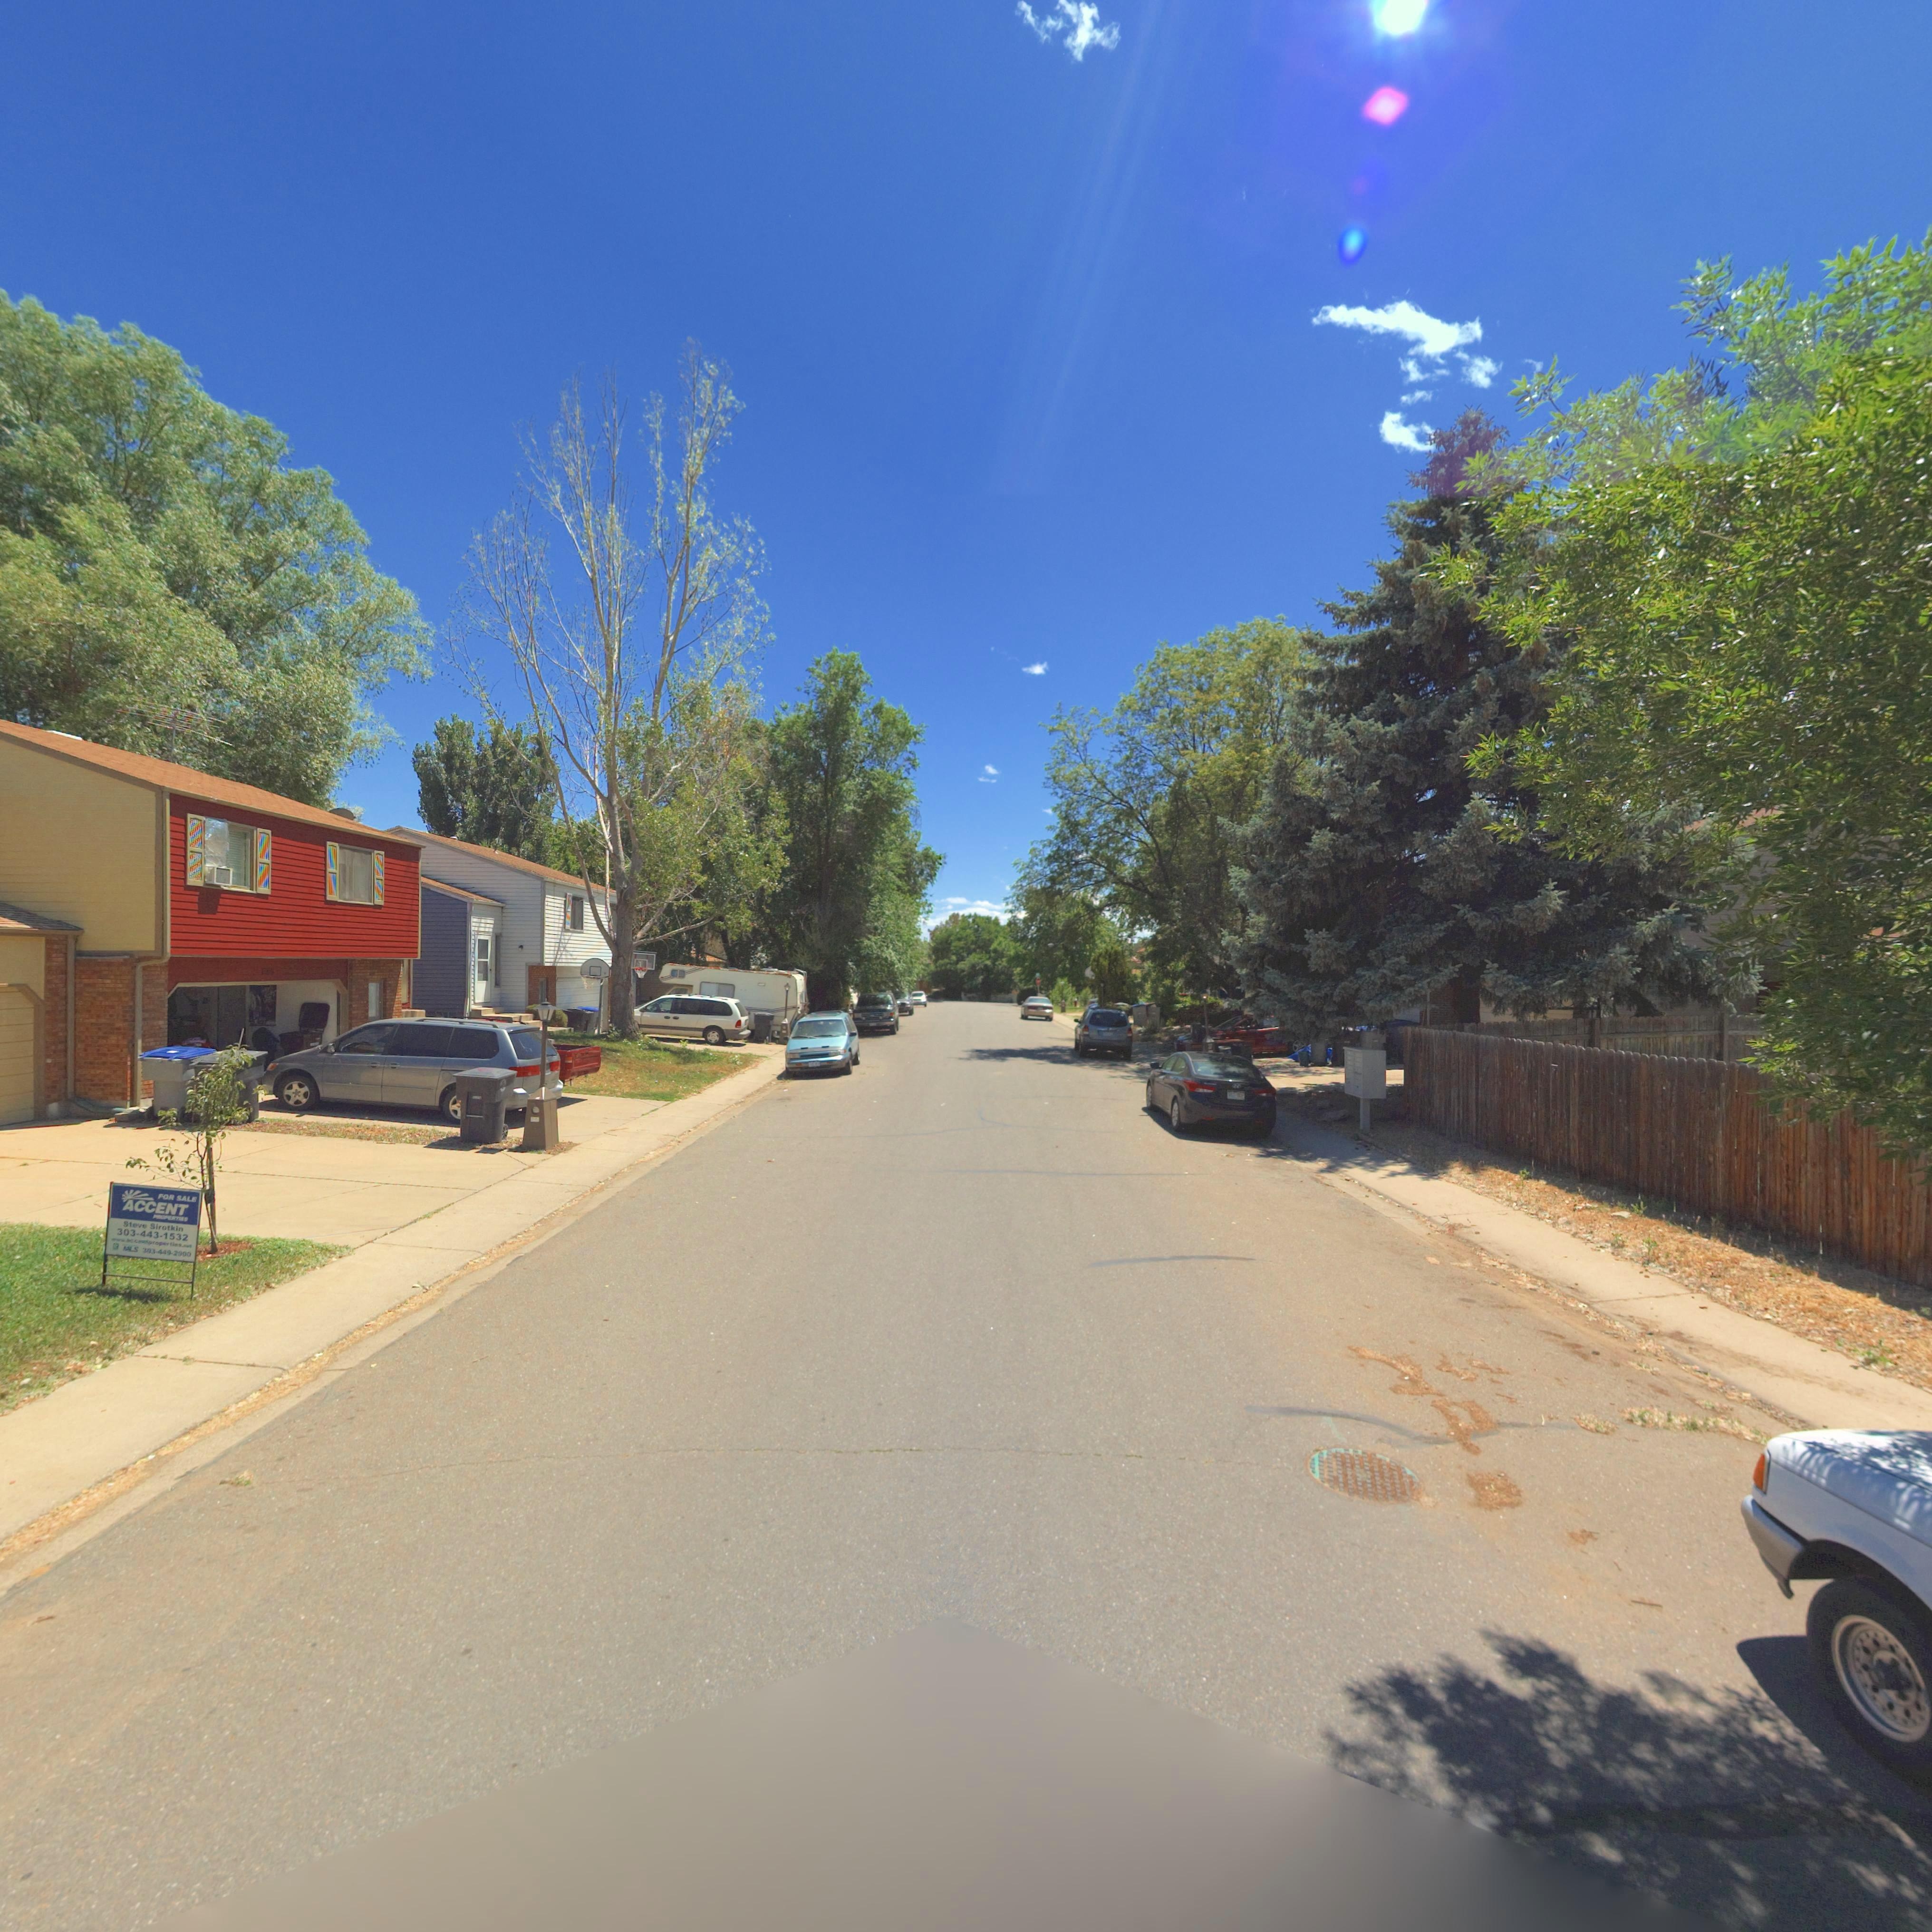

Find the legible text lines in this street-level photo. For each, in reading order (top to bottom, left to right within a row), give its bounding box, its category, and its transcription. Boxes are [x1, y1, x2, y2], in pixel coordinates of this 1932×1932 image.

[260, 967, 274, 975] StreetNumber: 1150
[121, 1199, 189, 1215] BusinessName: ACCENT